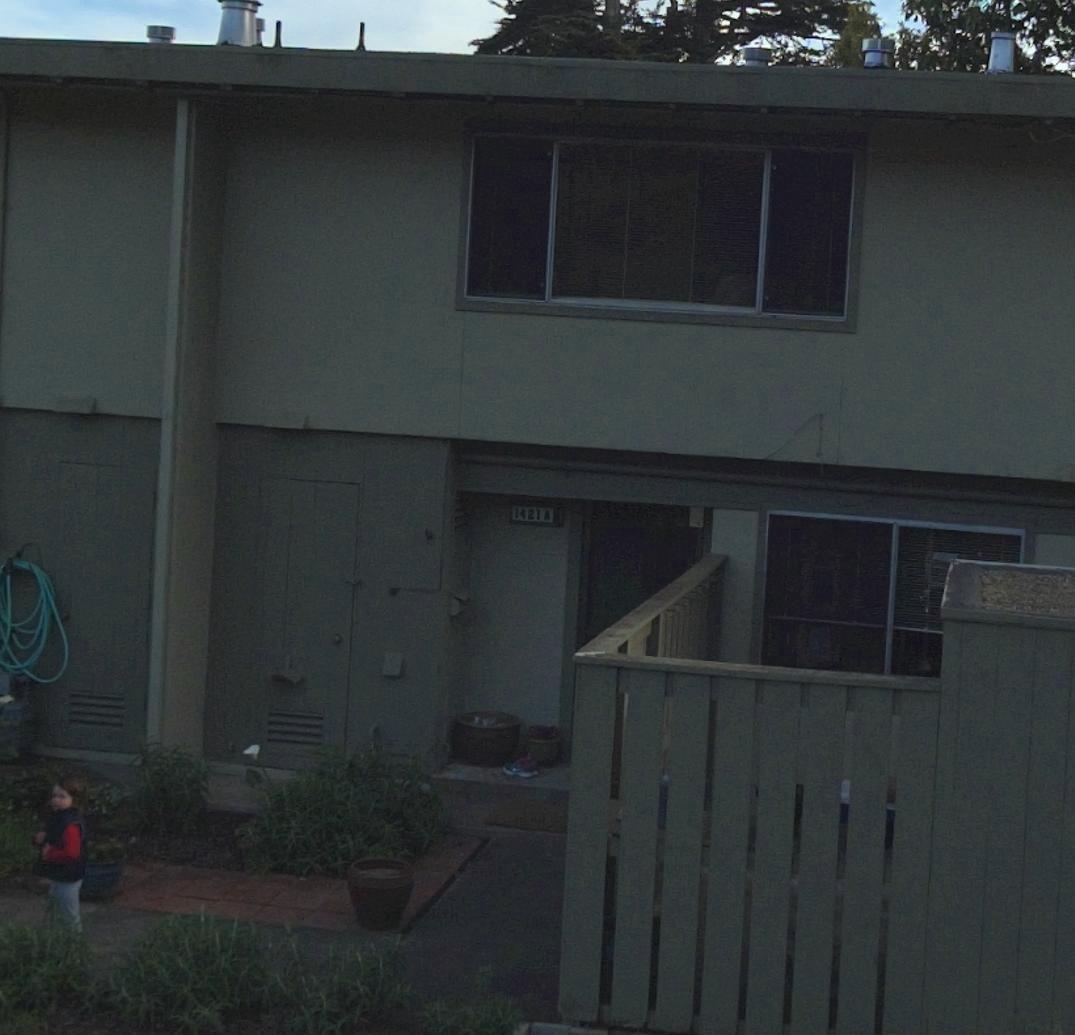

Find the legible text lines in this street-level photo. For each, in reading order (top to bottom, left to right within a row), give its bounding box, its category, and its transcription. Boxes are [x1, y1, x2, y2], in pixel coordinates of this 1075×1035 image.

[512, 506, 552, 522] StreetNumber: 1421A